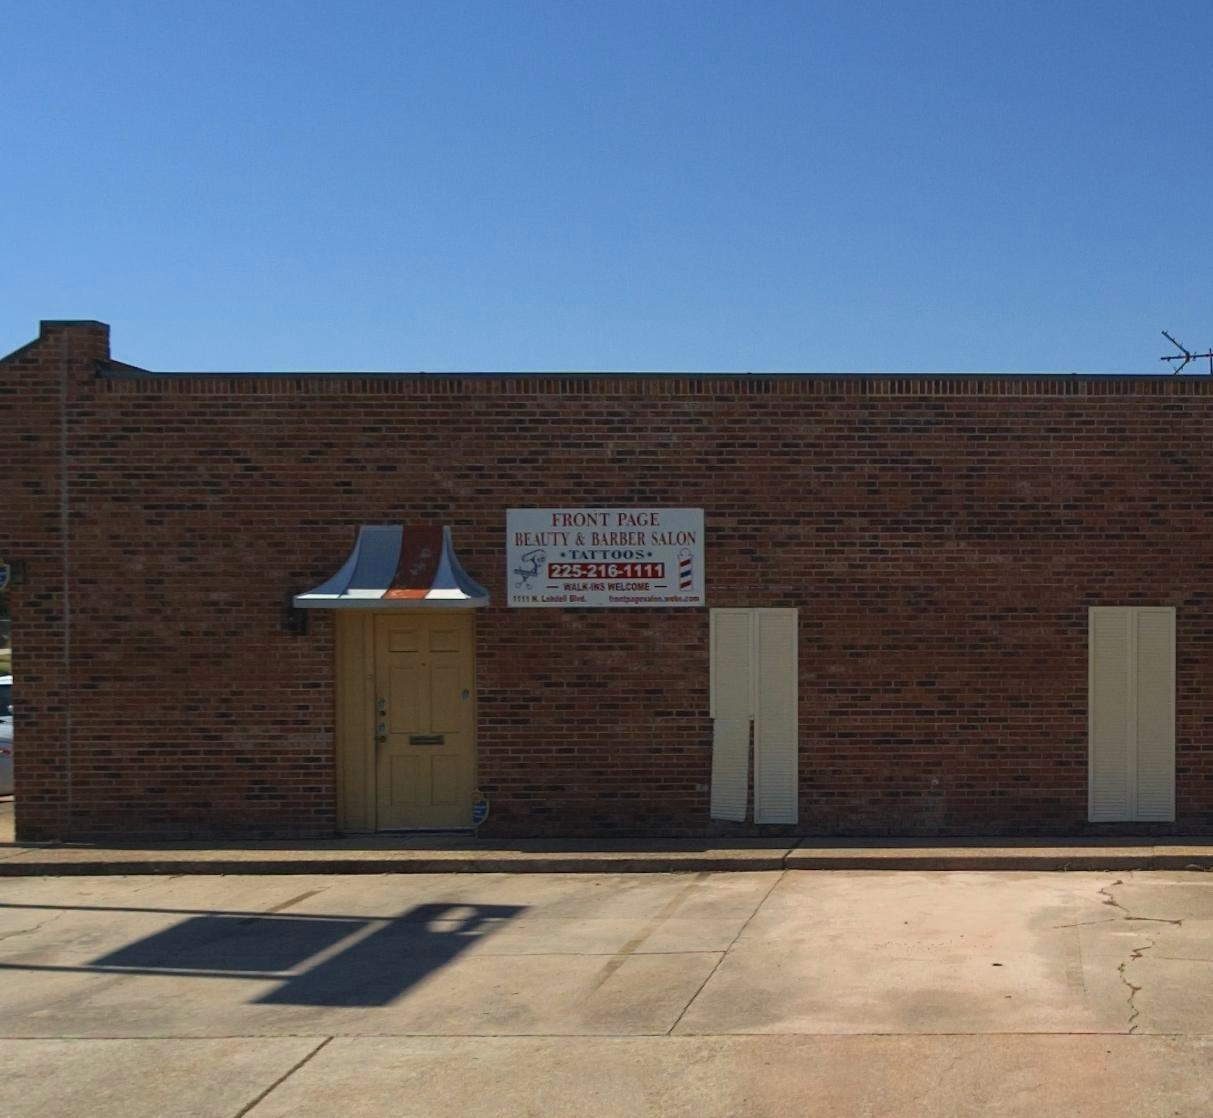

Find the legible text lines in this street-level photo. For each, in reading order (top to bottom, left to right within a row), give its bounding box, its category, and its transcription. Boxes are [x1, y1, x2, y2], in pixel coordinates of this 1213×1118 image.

[548, 510, 663, 529] BusinessName: FRONT PAGE
[512, 528, 699, 549] BusinessName: BEAUTY & BARBER SALON
[566, 547, 648, 562] None: TATOOS
[549, 562, 665, 579] None: 225-216-1111
[560, 580, 653, 593] None: WALK-INS WELCOME
[510, 592, 532, 605] StreetNumber: 1111
[530, 593, 547, 604] StreetName: N. L